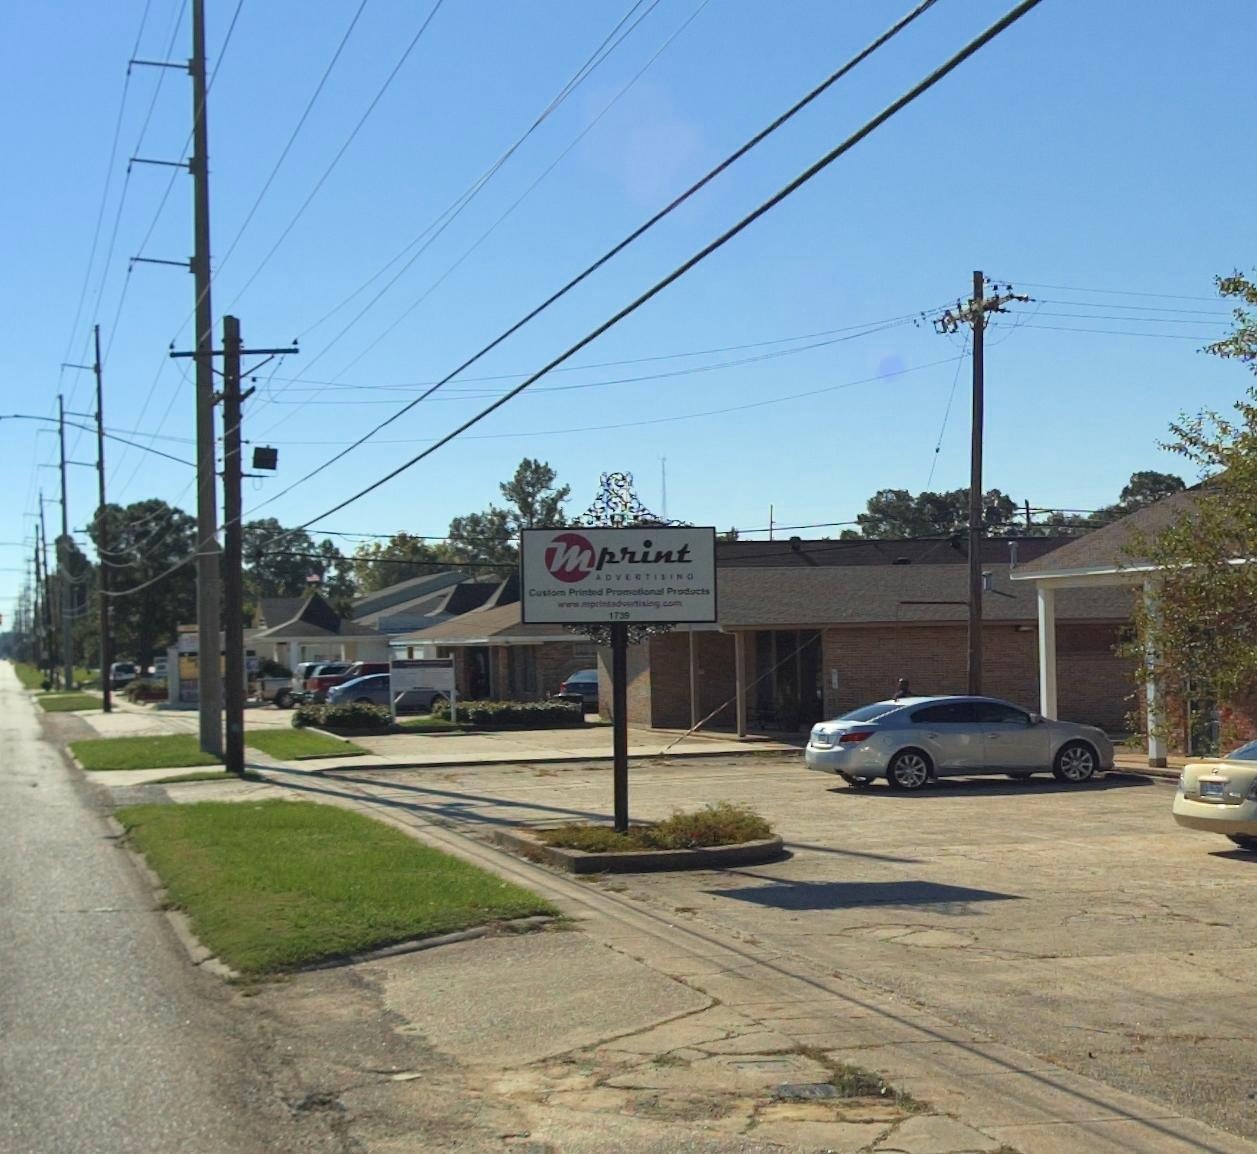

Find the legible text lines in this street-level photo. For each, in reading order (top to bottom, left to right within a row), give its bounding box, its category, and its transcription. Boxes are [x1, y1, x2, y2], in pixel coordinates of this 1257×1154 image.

[545, 537, 696, 575] BusinessName: M print
[591, 570, 697, 584] BusinessName: ADVERTISING
[525, 584, 714, 601] None: Custom Printed Pro***onal Prod*cts
[607, 608, 633, 622] StreetNumber: 17*9